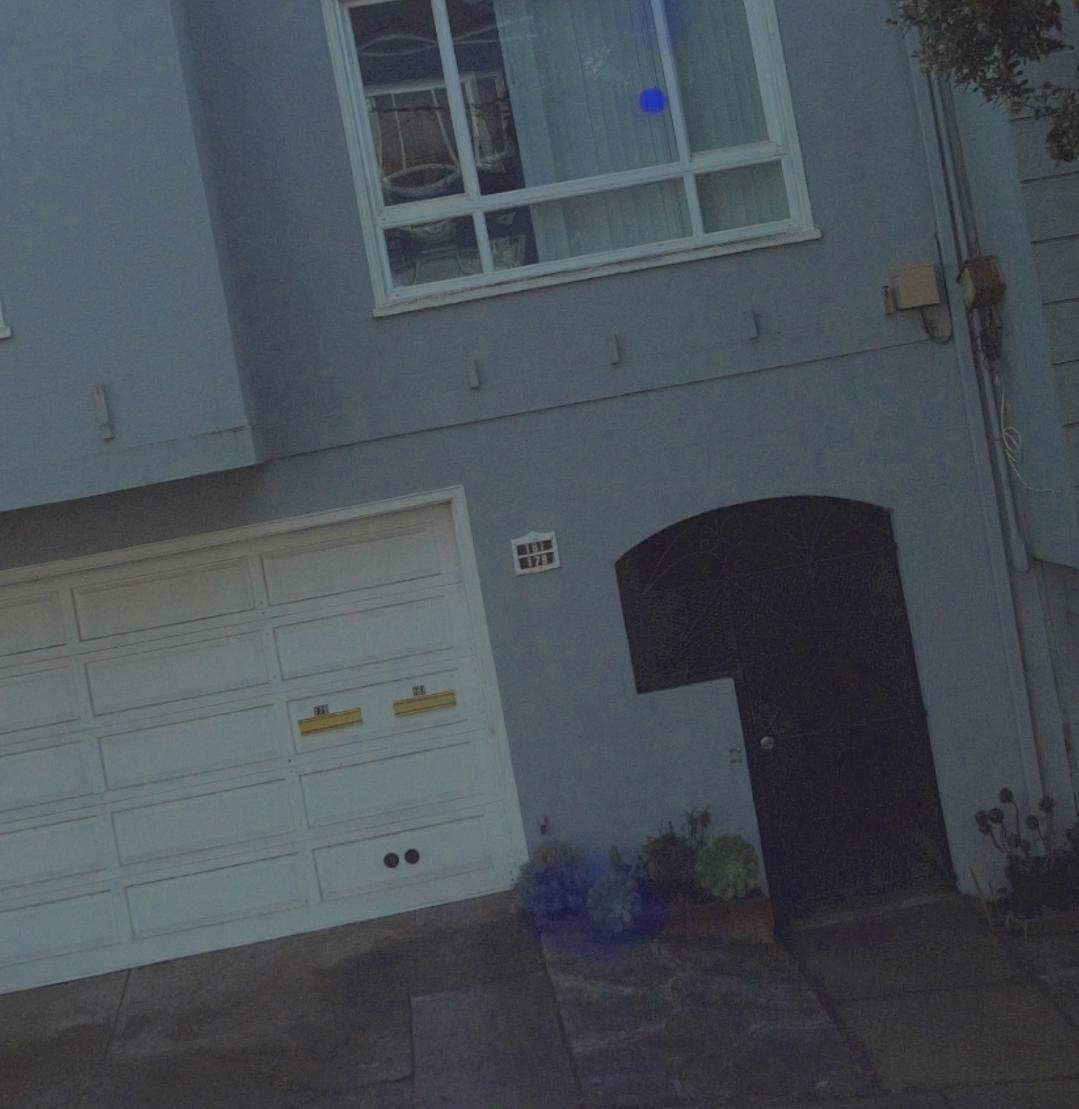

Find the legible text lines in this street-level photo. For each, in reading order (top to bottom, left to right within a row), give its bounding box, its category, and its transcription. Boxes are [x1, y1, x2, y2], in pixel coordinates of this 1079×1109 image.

[522, 540, 547, 556] StreetNumber: 181
[523, 552, 550, 569] StreetNumber: 179